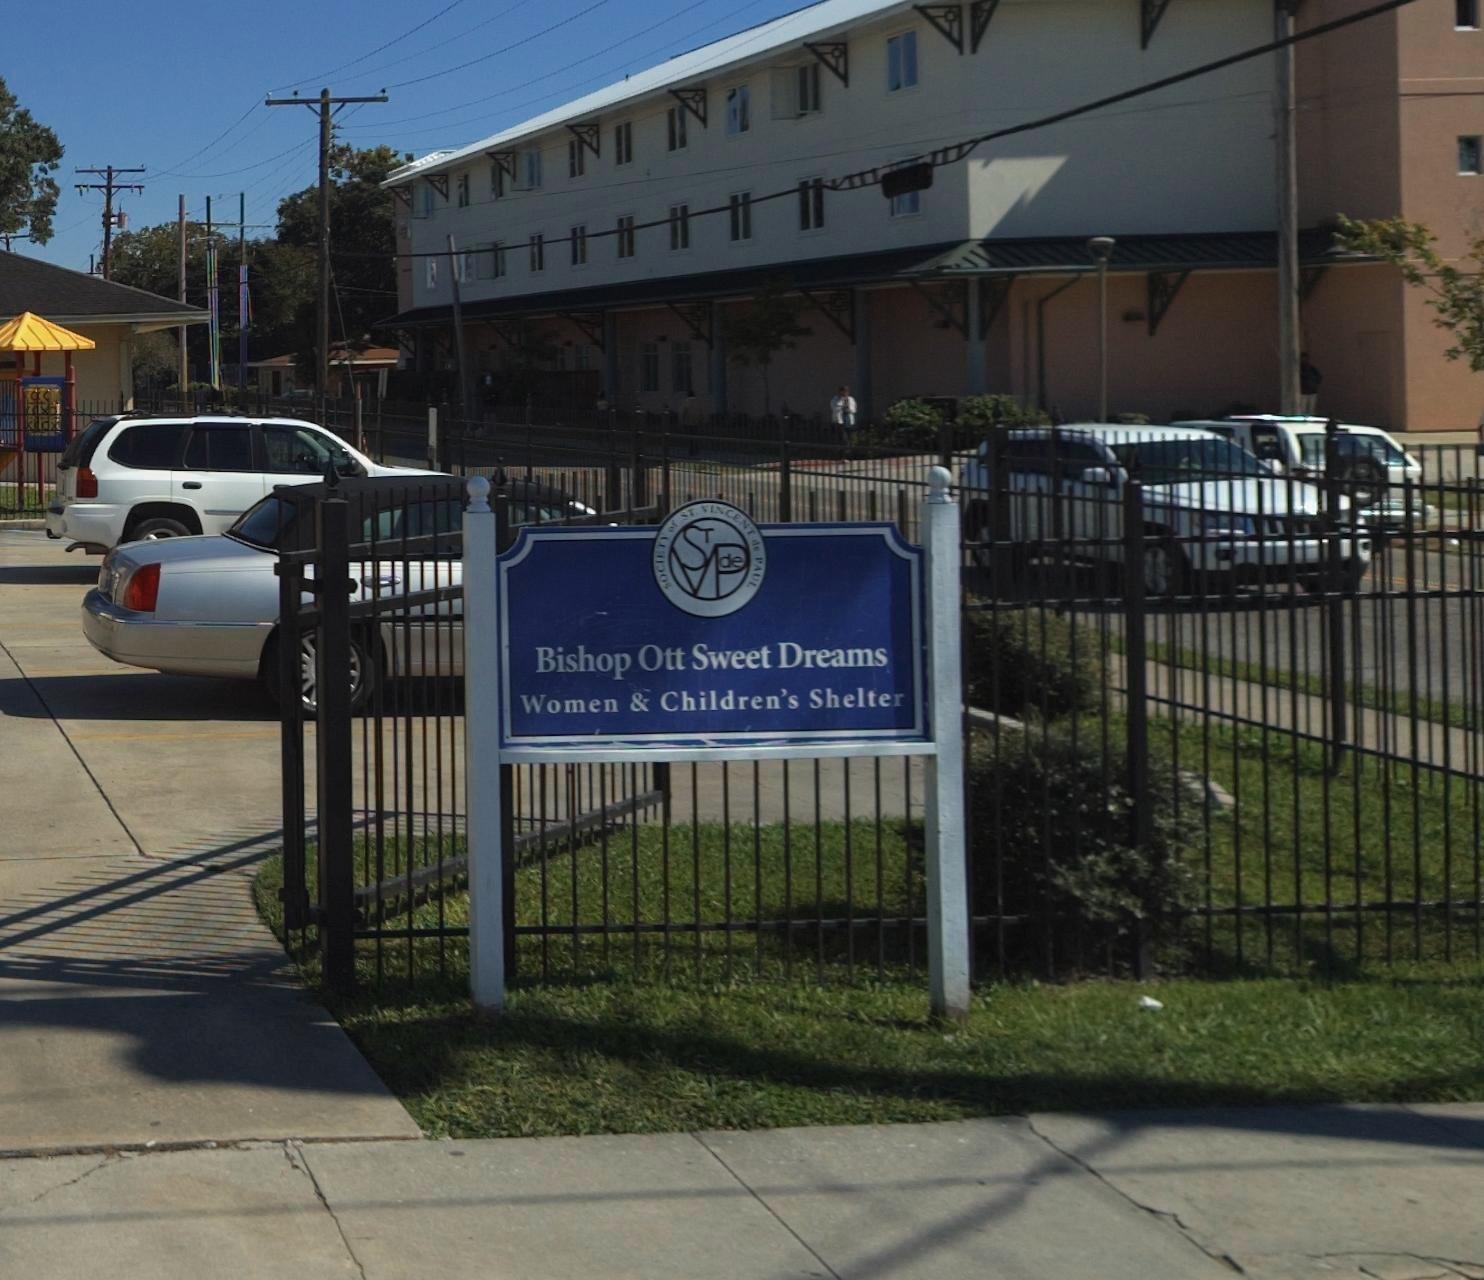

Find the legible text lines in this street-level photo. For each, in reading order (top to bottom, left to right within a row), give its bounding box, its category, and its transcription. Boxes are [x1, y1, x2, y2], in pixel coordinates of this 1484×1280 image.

[678, 520, 718, 574] None: ST
[663, 539, 752, 601] None: VP
[652, 502, 766, 592] None: *OCI*** ** ST. VINCENT ** PAUL
[716, 550, 747, 573] None: de
[530, 637, 892, 684] BusinessName: Bishop Ott Sweet Dreams
[515, 683, 908, 720] BusinessName: Women & Children's Shelter